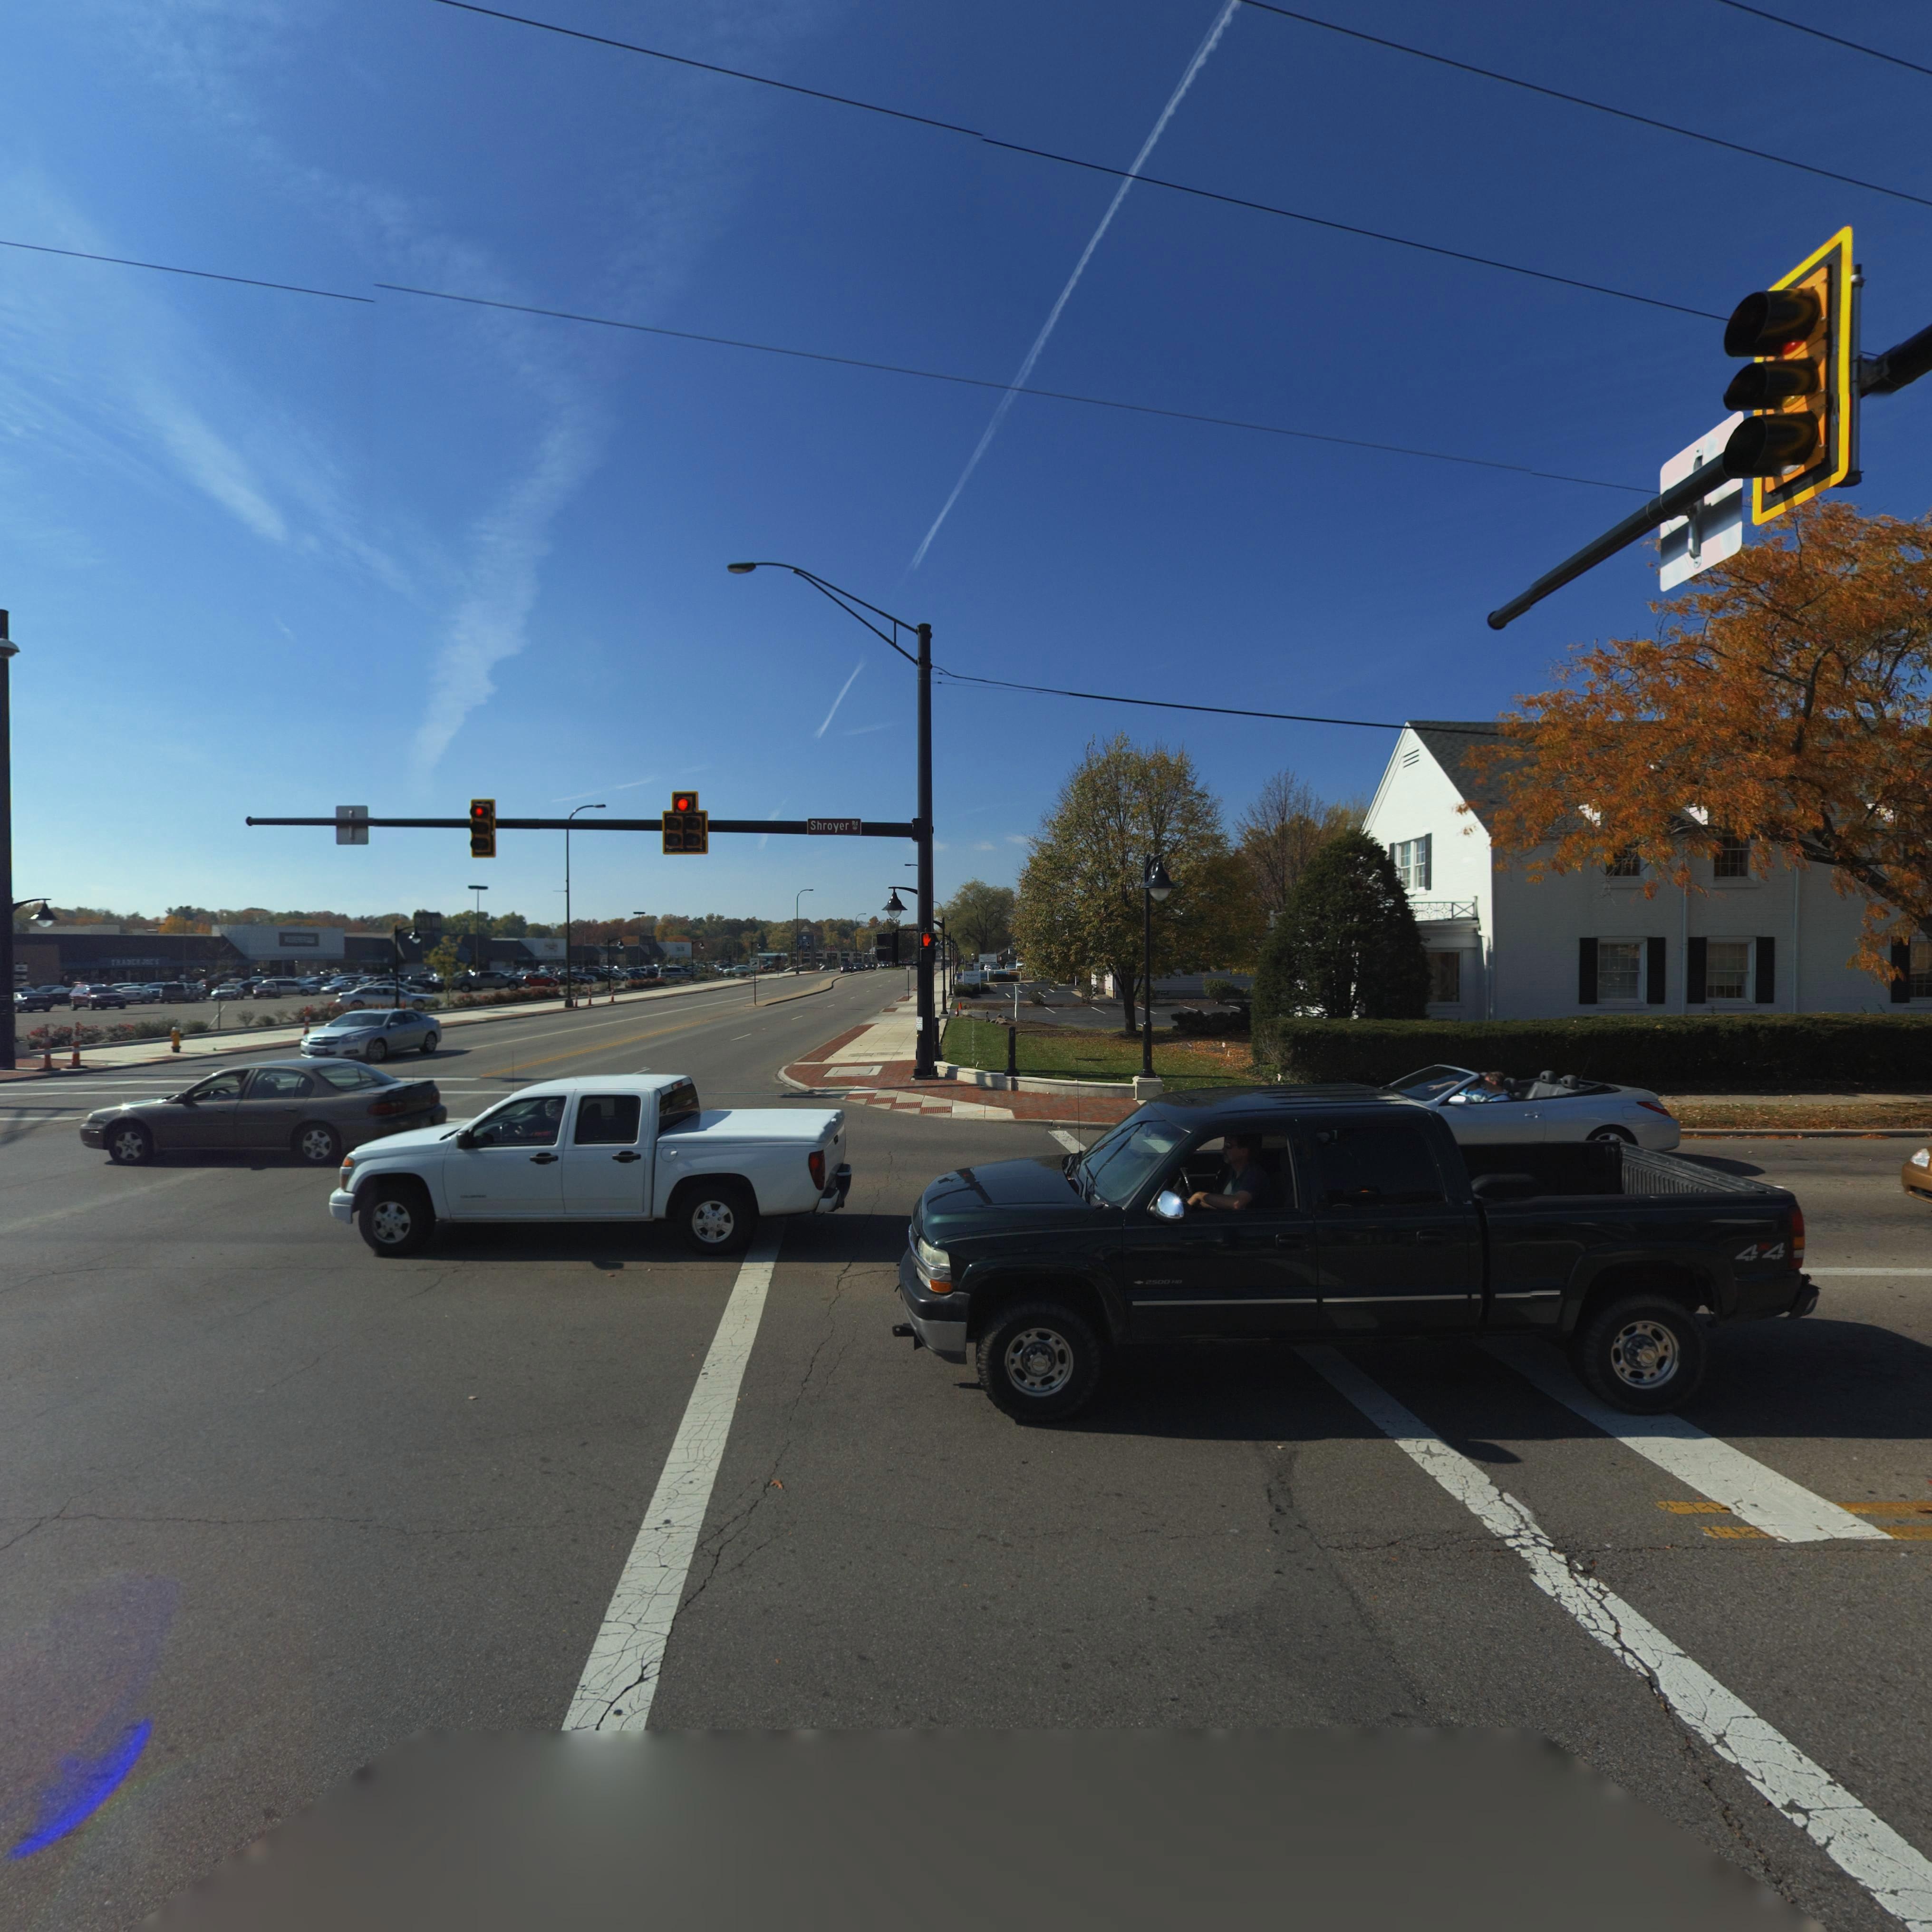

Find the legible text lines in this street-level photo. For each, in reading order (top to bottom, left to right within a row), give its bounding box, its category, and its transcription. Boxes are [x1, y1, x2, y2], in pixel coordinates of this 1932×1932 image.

[810, 820, 858, 834] StreetName: Shroyer Rd
[110, 958, 160, 966] BusinessName: TRADE* JOES
[1734, 1242, 1786, 1261] None: 4x4
[1144, 1279, 1183, 1285] None: 2500 HD